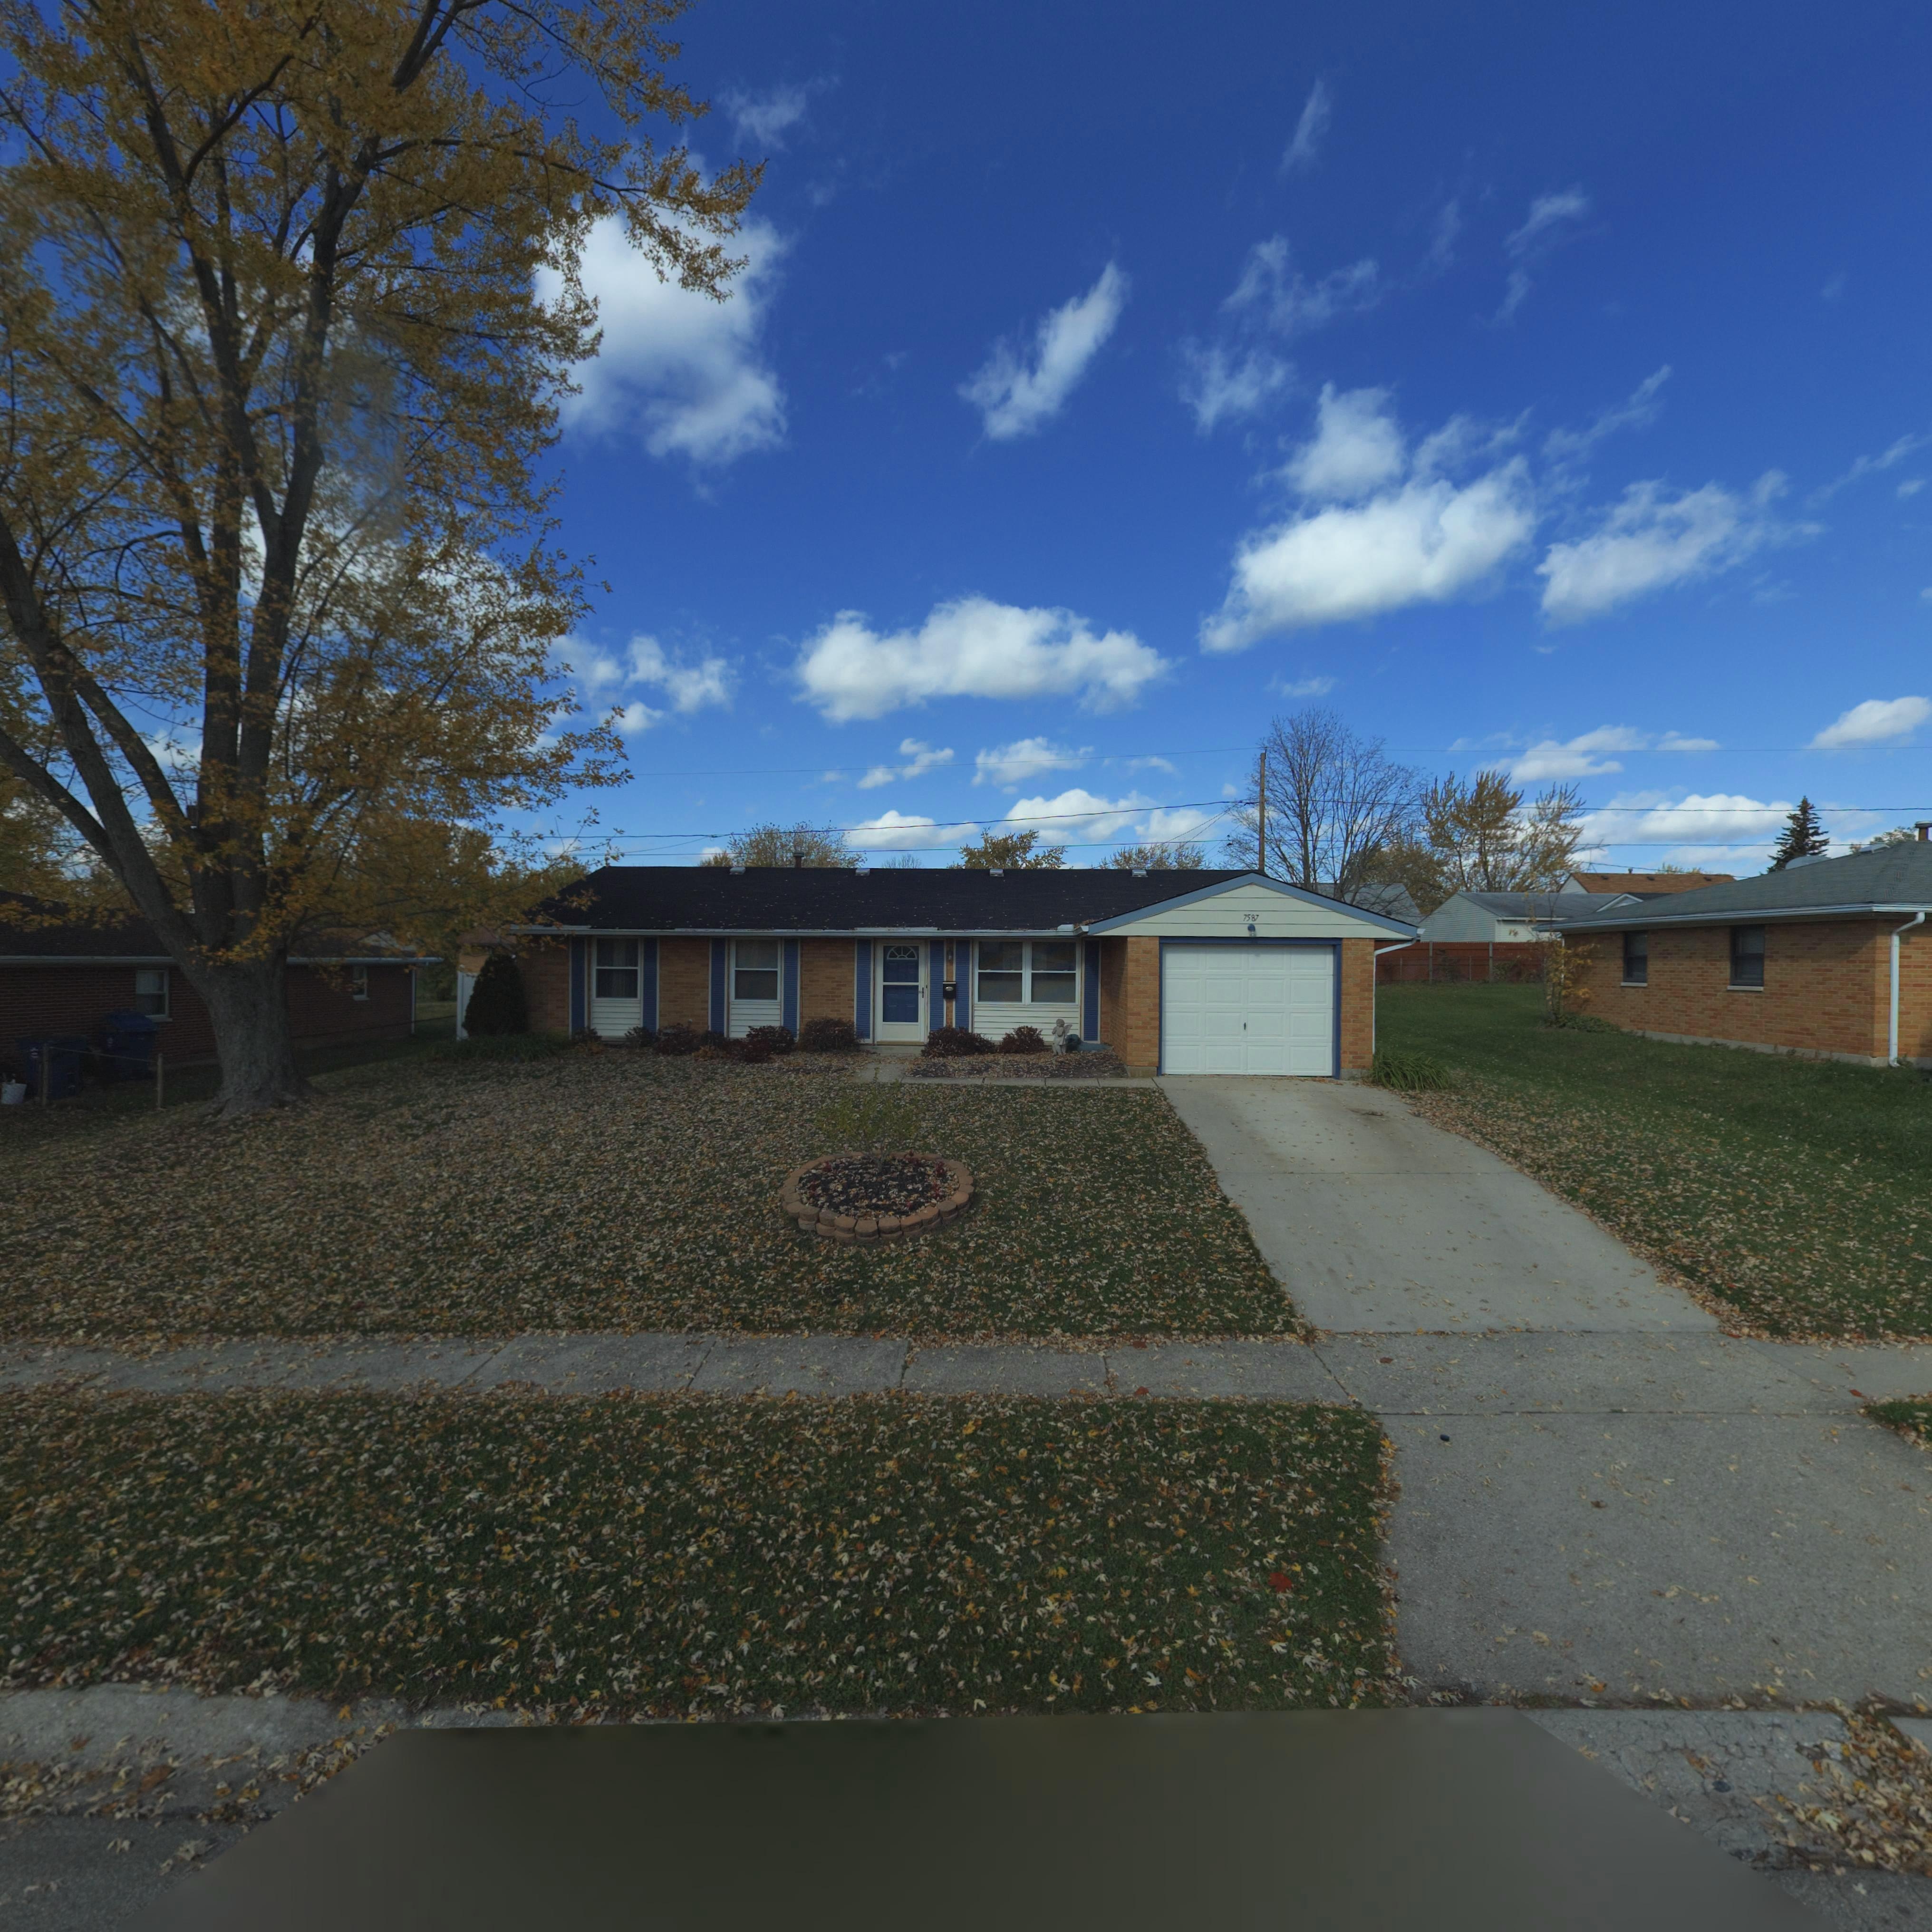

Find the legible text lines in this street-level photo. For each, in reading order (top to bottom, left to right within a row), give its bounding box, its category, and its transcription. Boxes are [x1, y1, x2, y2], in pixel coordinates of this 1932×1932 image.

[1243, 914, 1259, 922] StreetNumber: 7587